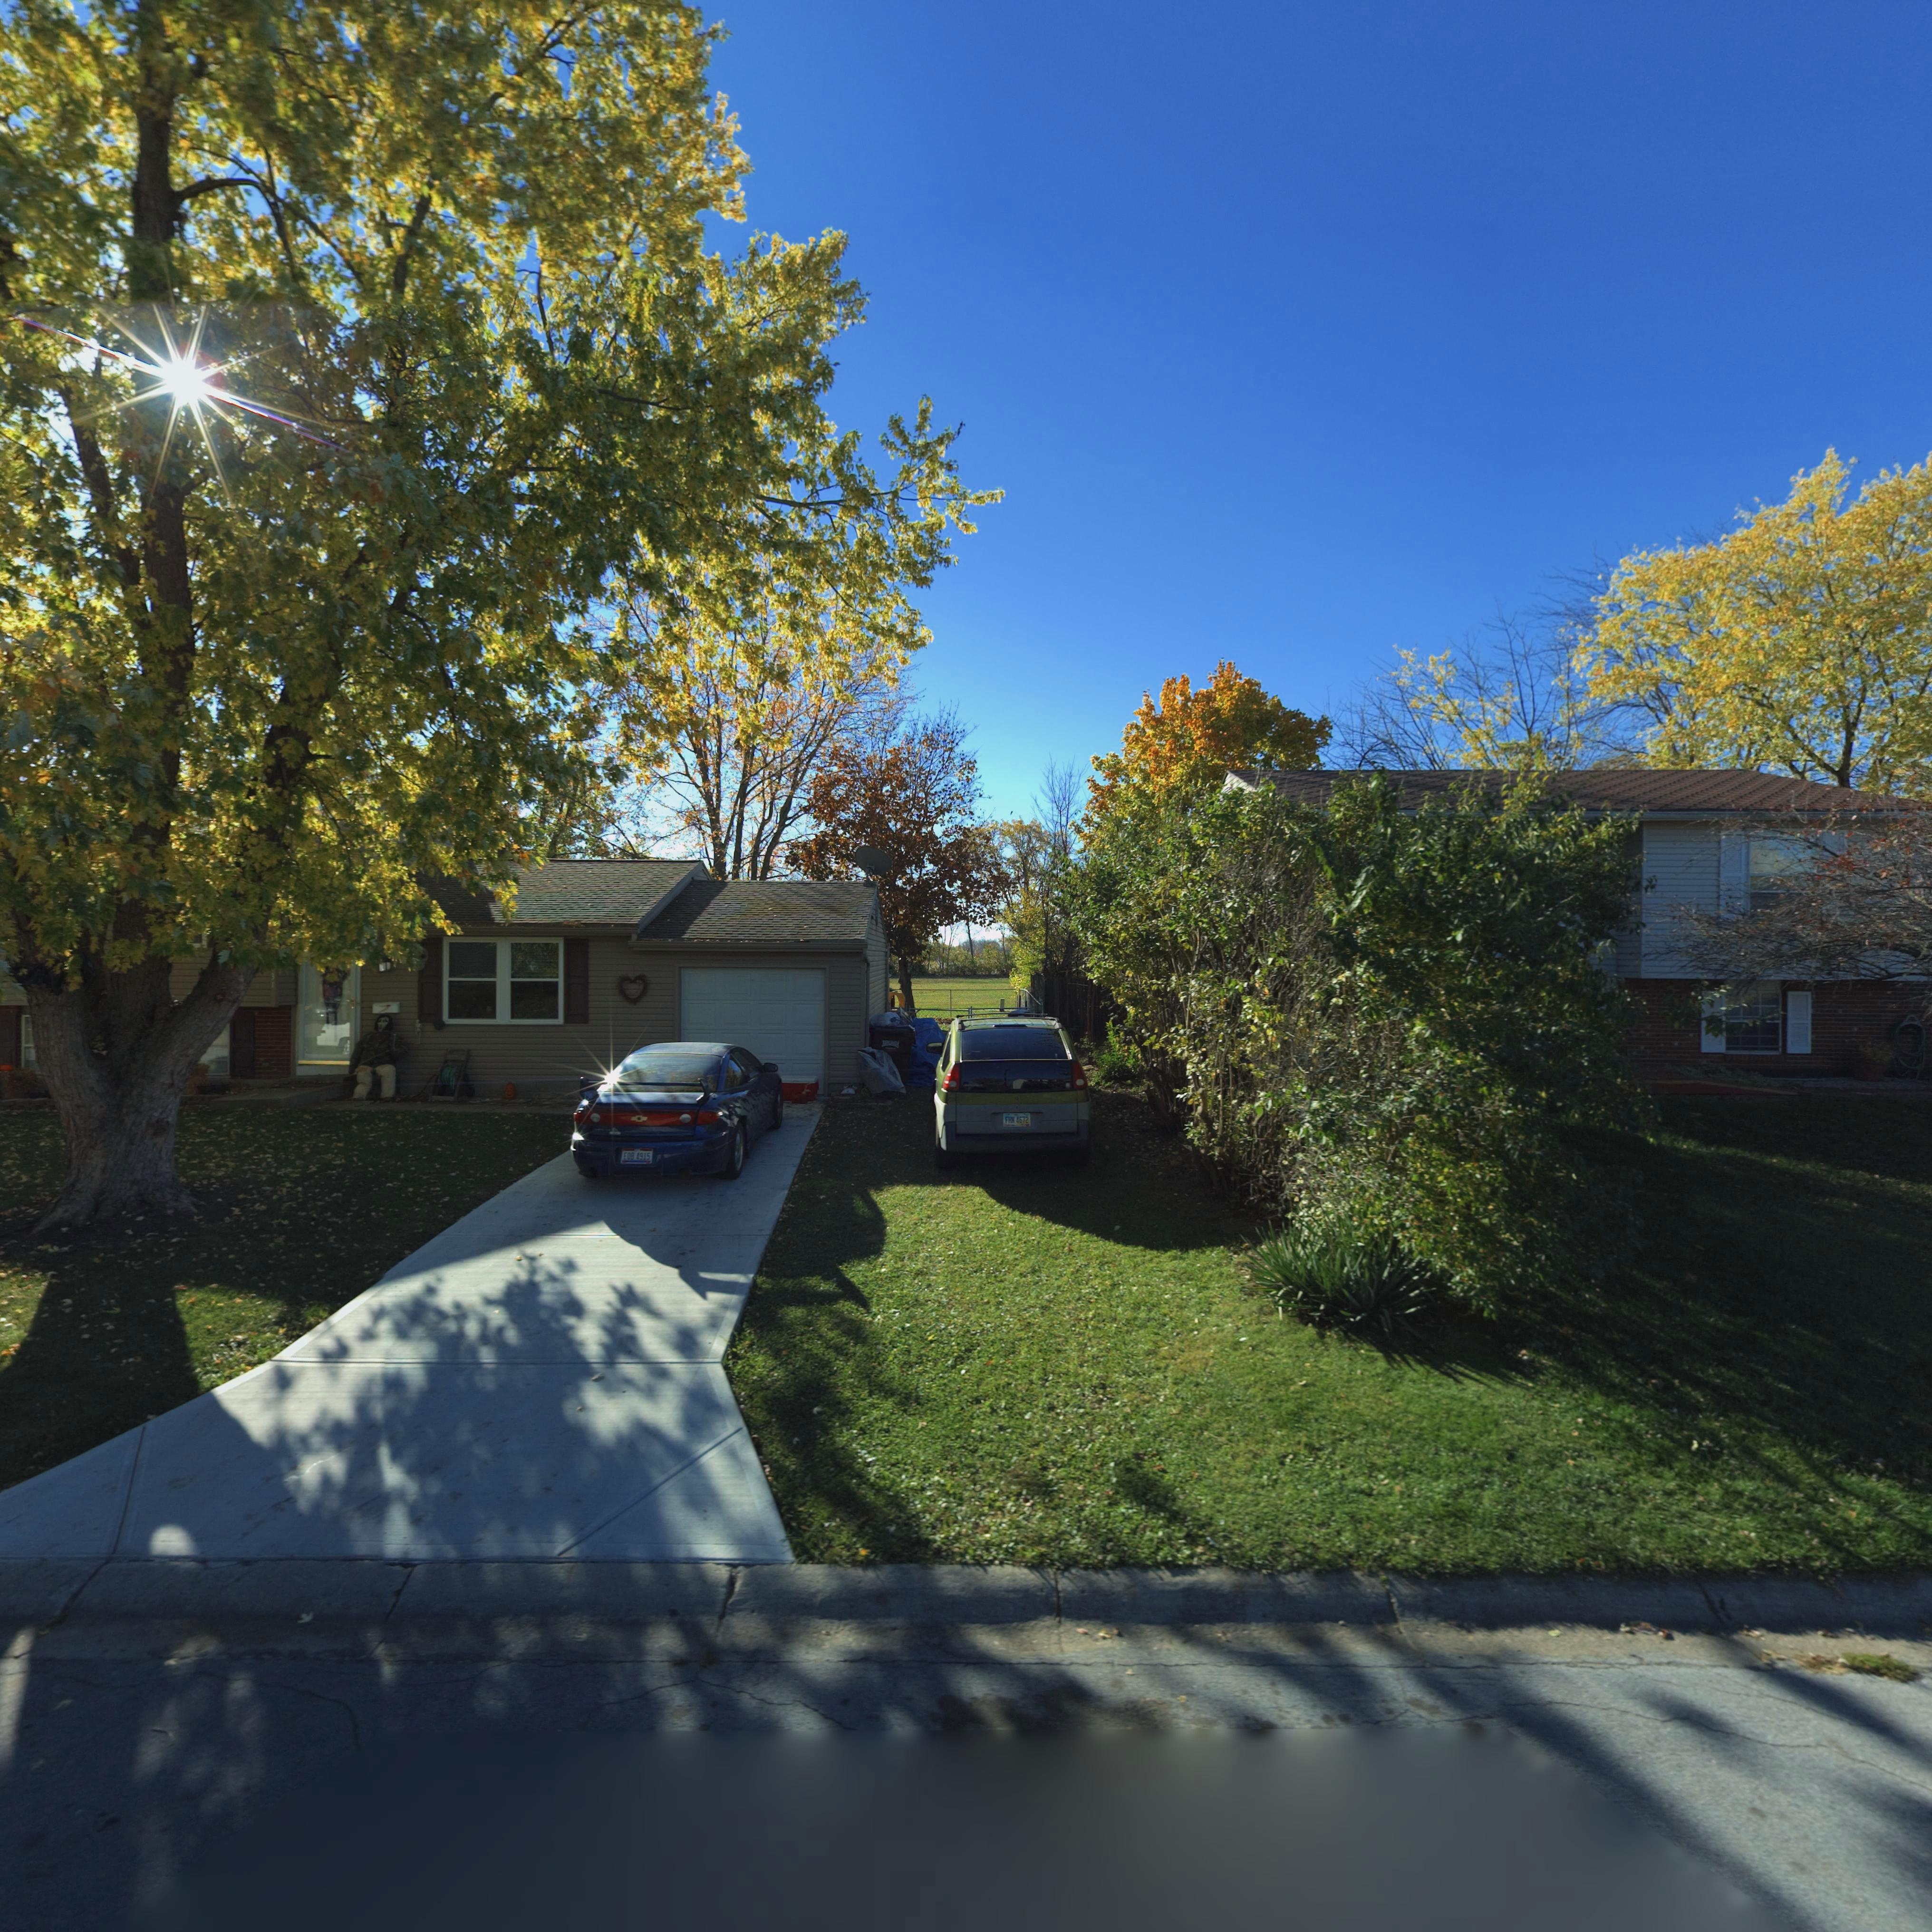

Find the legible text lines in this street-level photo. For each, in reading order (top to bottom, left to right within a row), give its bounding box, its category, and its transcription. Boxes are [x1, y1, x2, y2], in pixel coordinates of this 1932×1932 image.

[270, 973, 275, 989] StreetNumber: 31